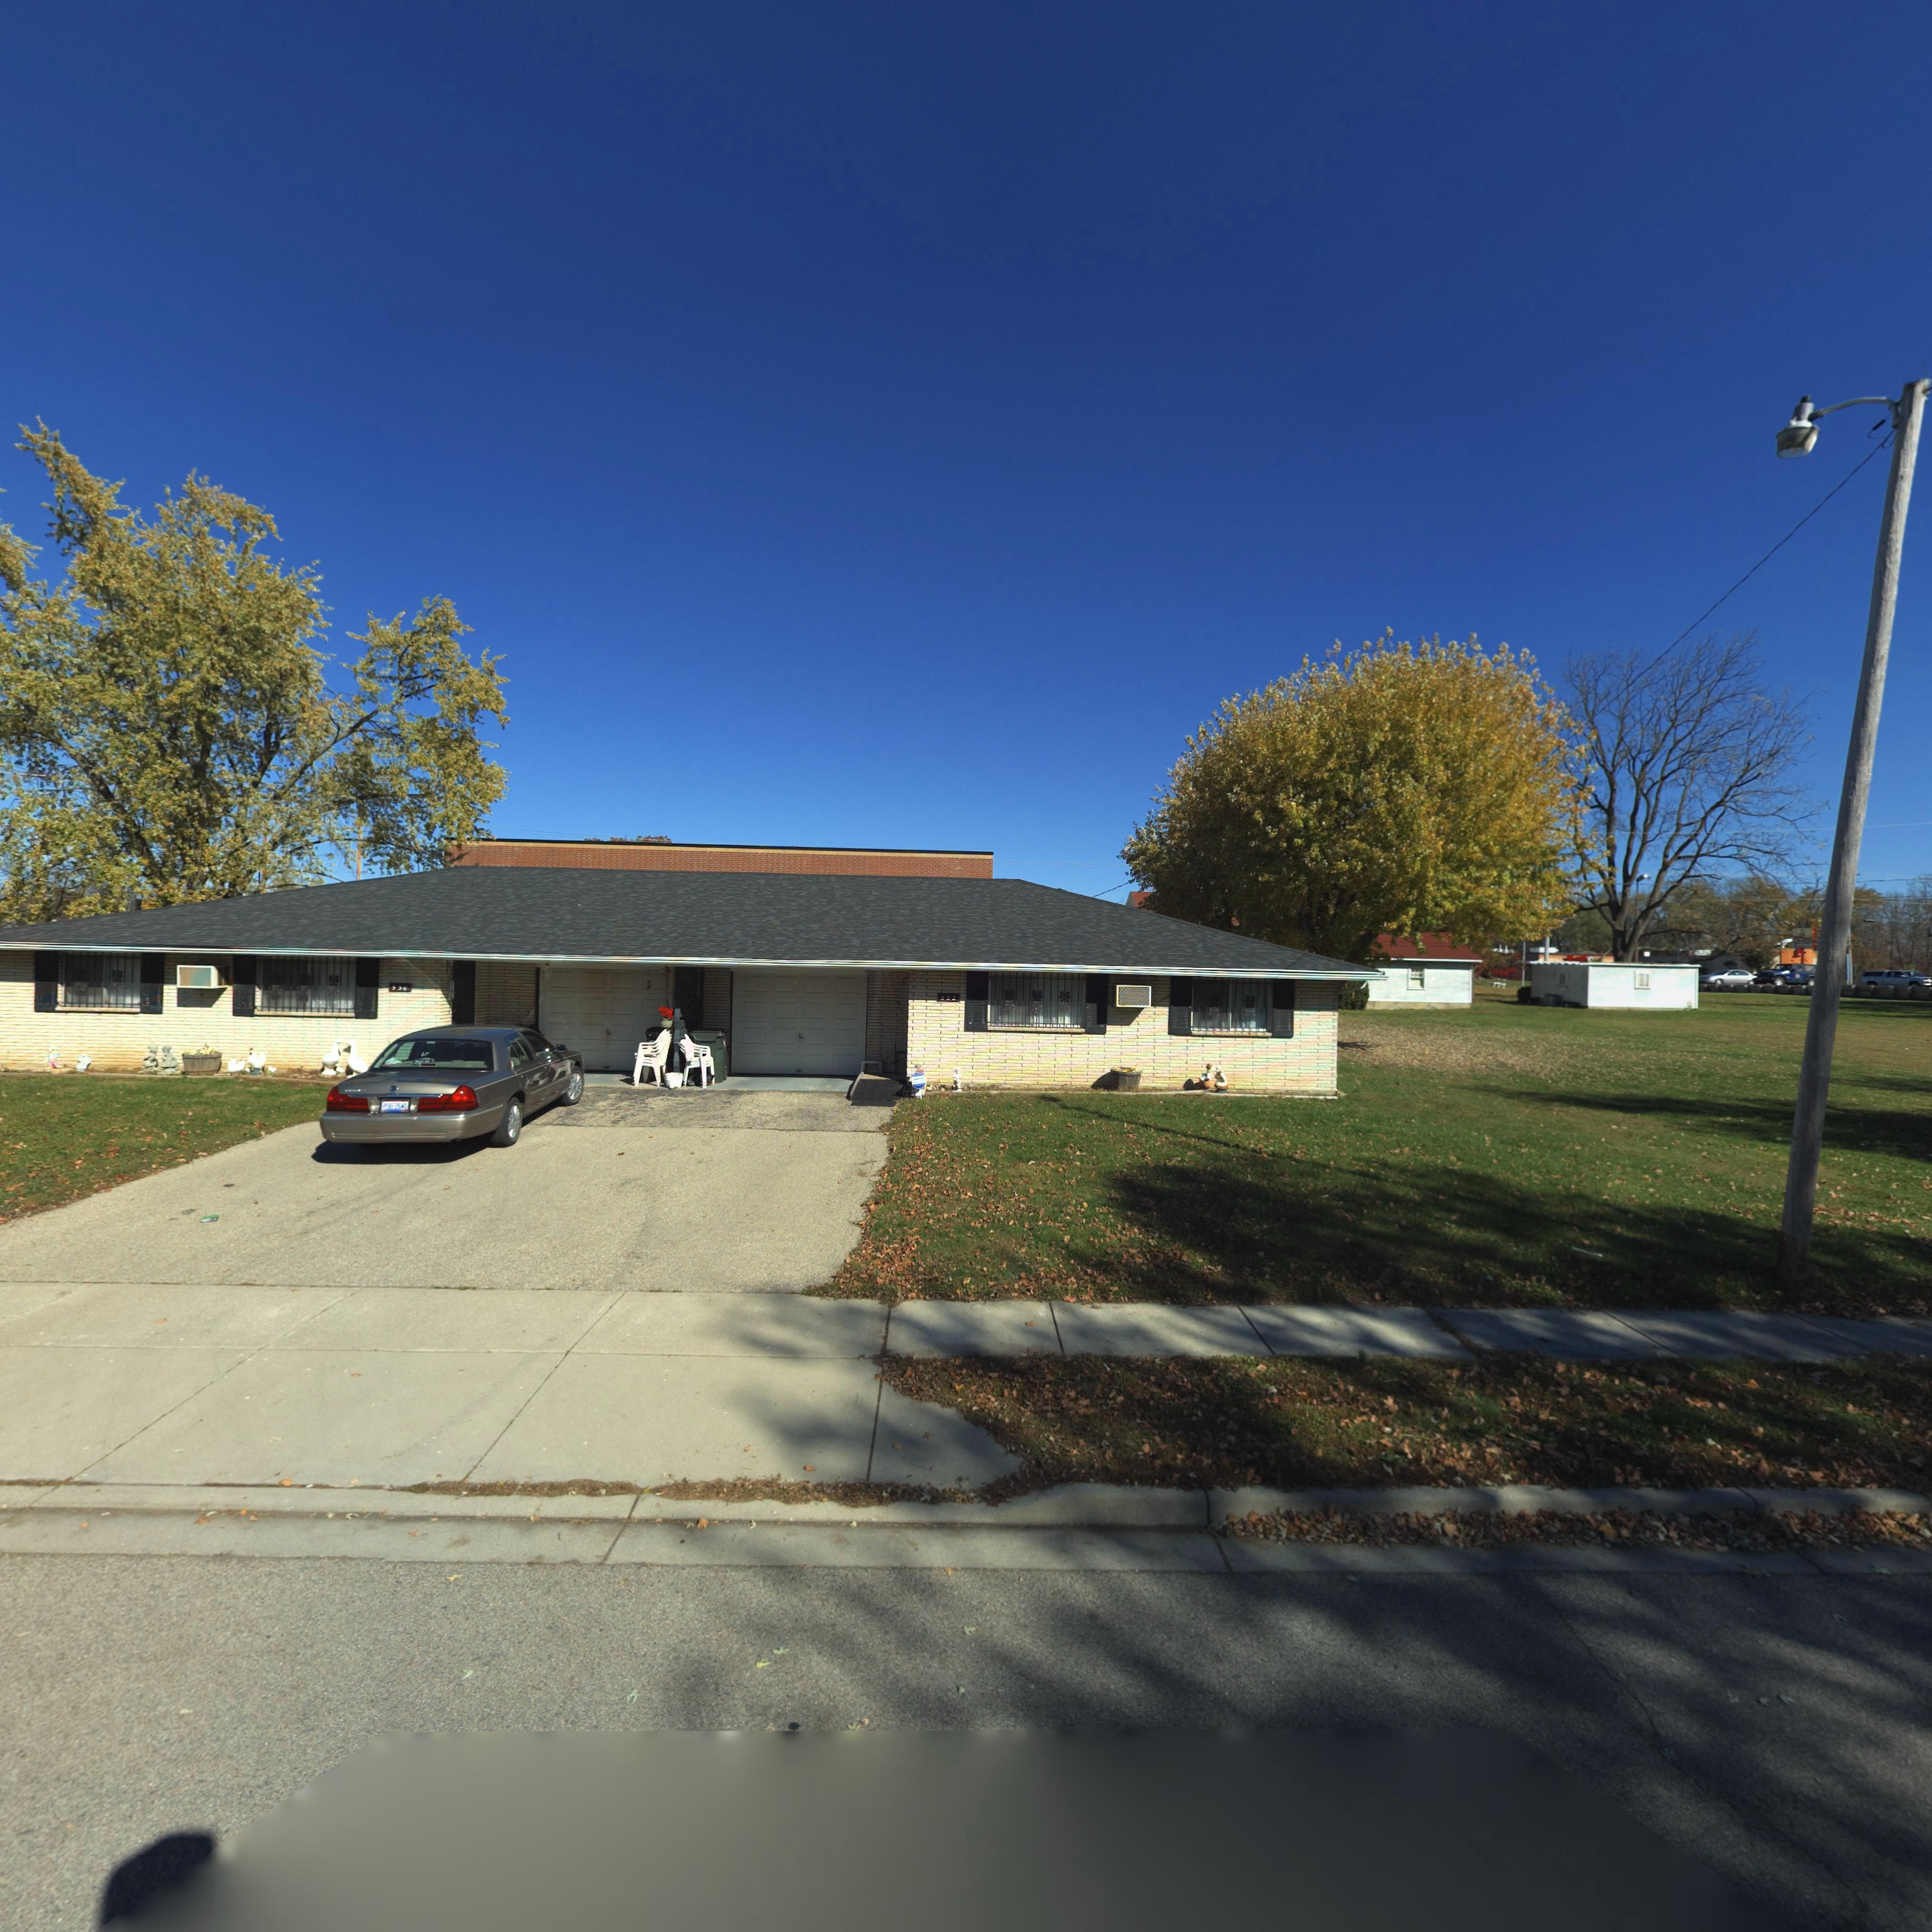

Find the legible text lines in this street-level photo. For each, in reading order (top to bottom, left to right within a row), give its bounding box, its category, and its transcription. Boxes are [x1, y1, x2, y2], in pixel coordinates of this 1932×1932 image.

[391, 985, 407, 991] StreetNumber: 530
[940, 995, 956, 1001] StreetNumber: 532